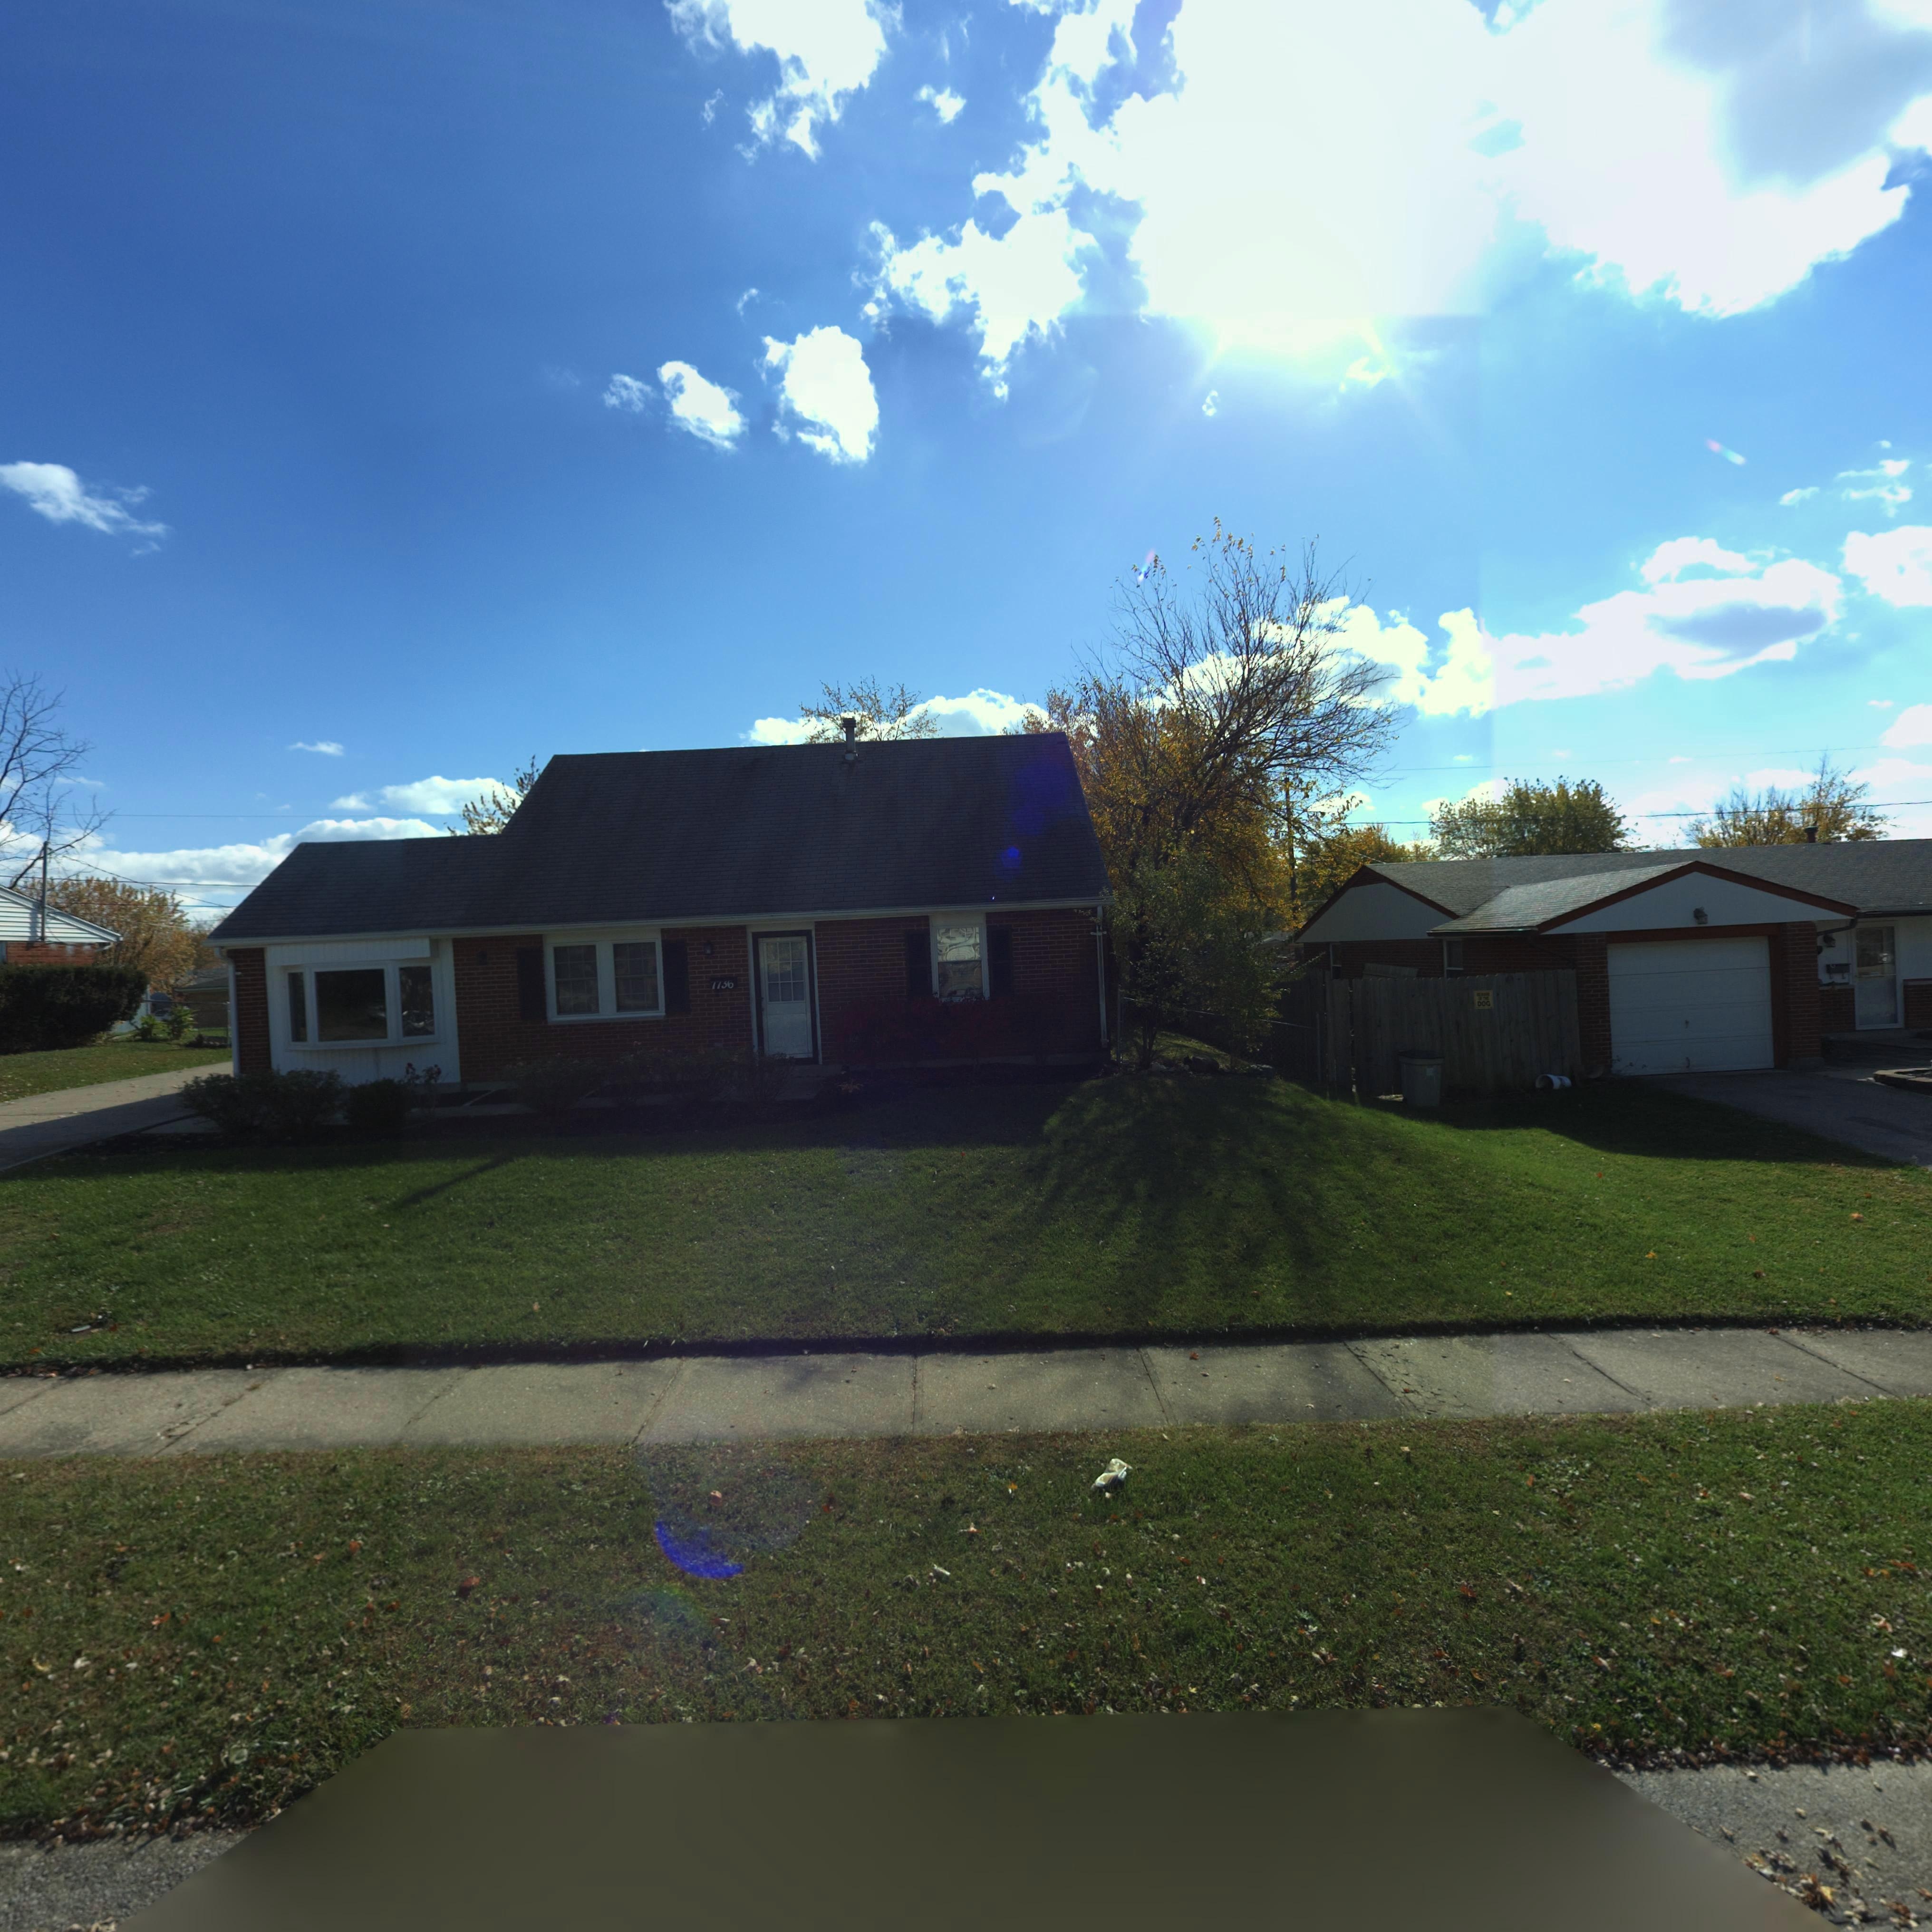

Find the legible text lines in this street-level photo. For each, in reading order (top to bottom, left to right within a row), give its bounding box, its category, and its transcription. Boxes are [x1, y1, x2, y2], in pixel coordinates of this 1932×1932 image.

[710, 979, 734, 990] StreetNumber: 7736